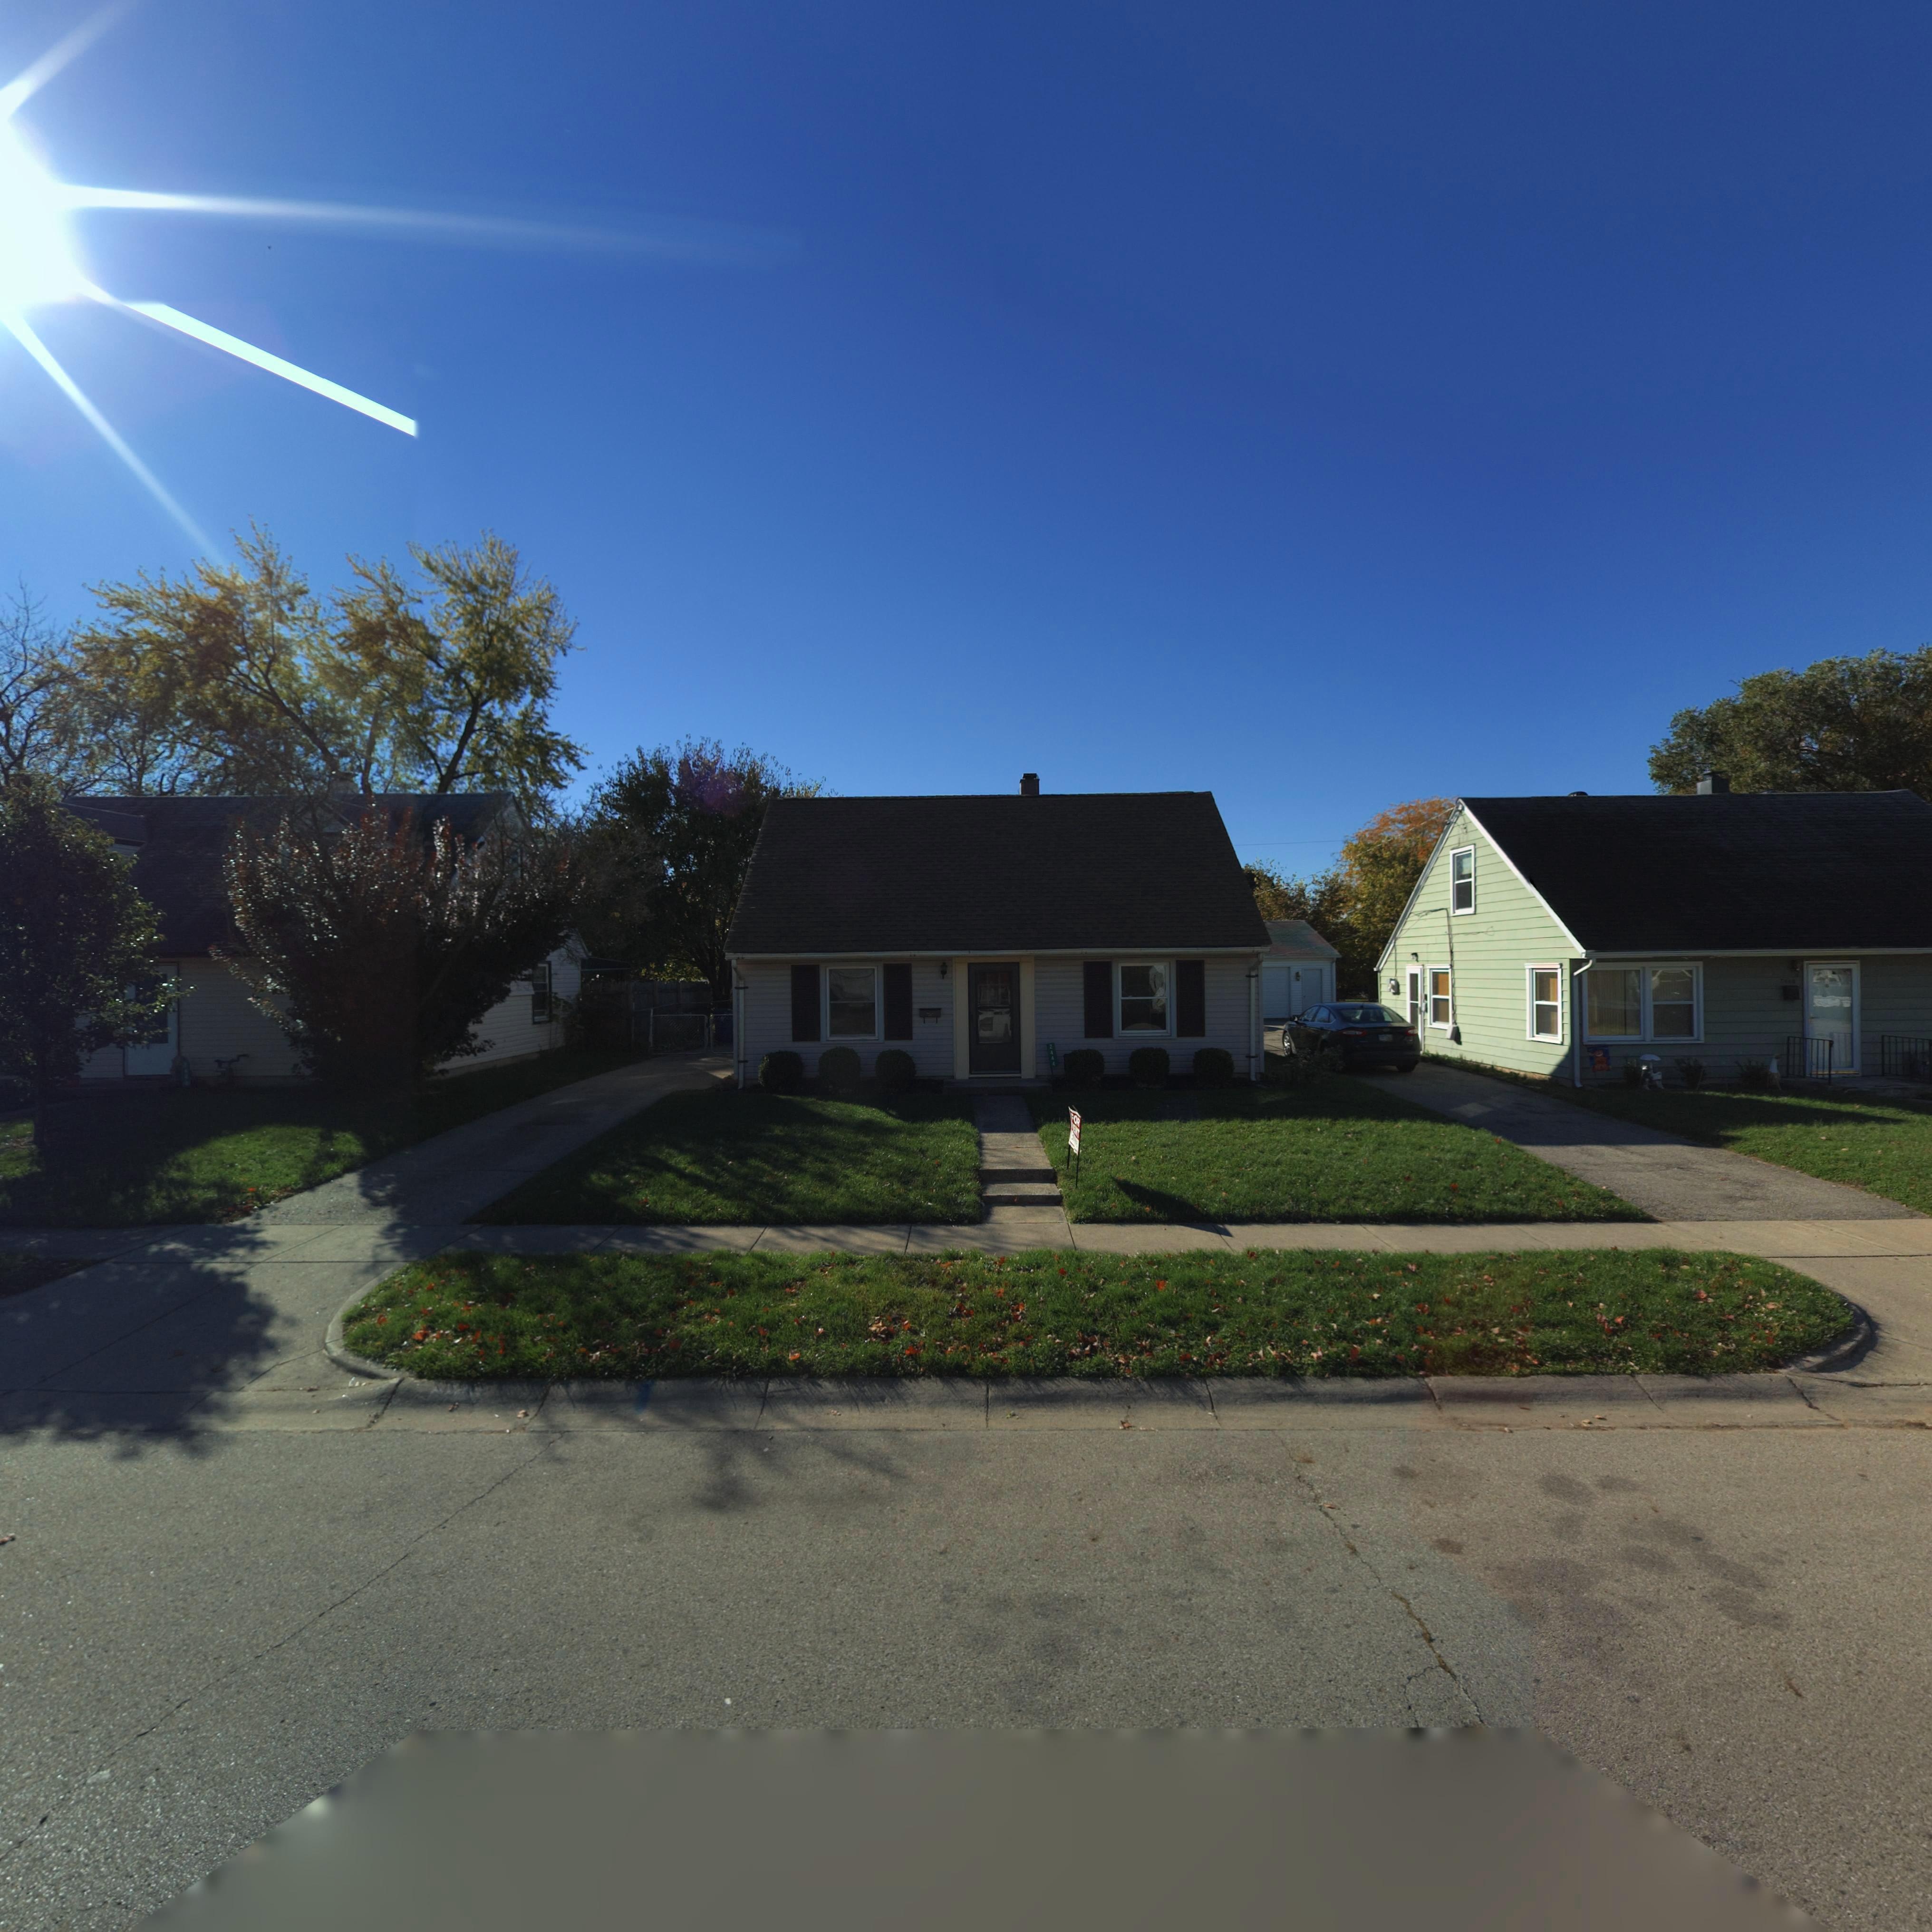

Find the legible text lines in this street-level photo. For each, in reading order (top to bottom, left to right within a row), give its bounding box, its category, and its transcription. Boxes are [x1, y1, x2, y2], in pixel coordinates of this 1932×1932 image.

[1048, 1043, 1056, 1067] StreetNumber: 2444